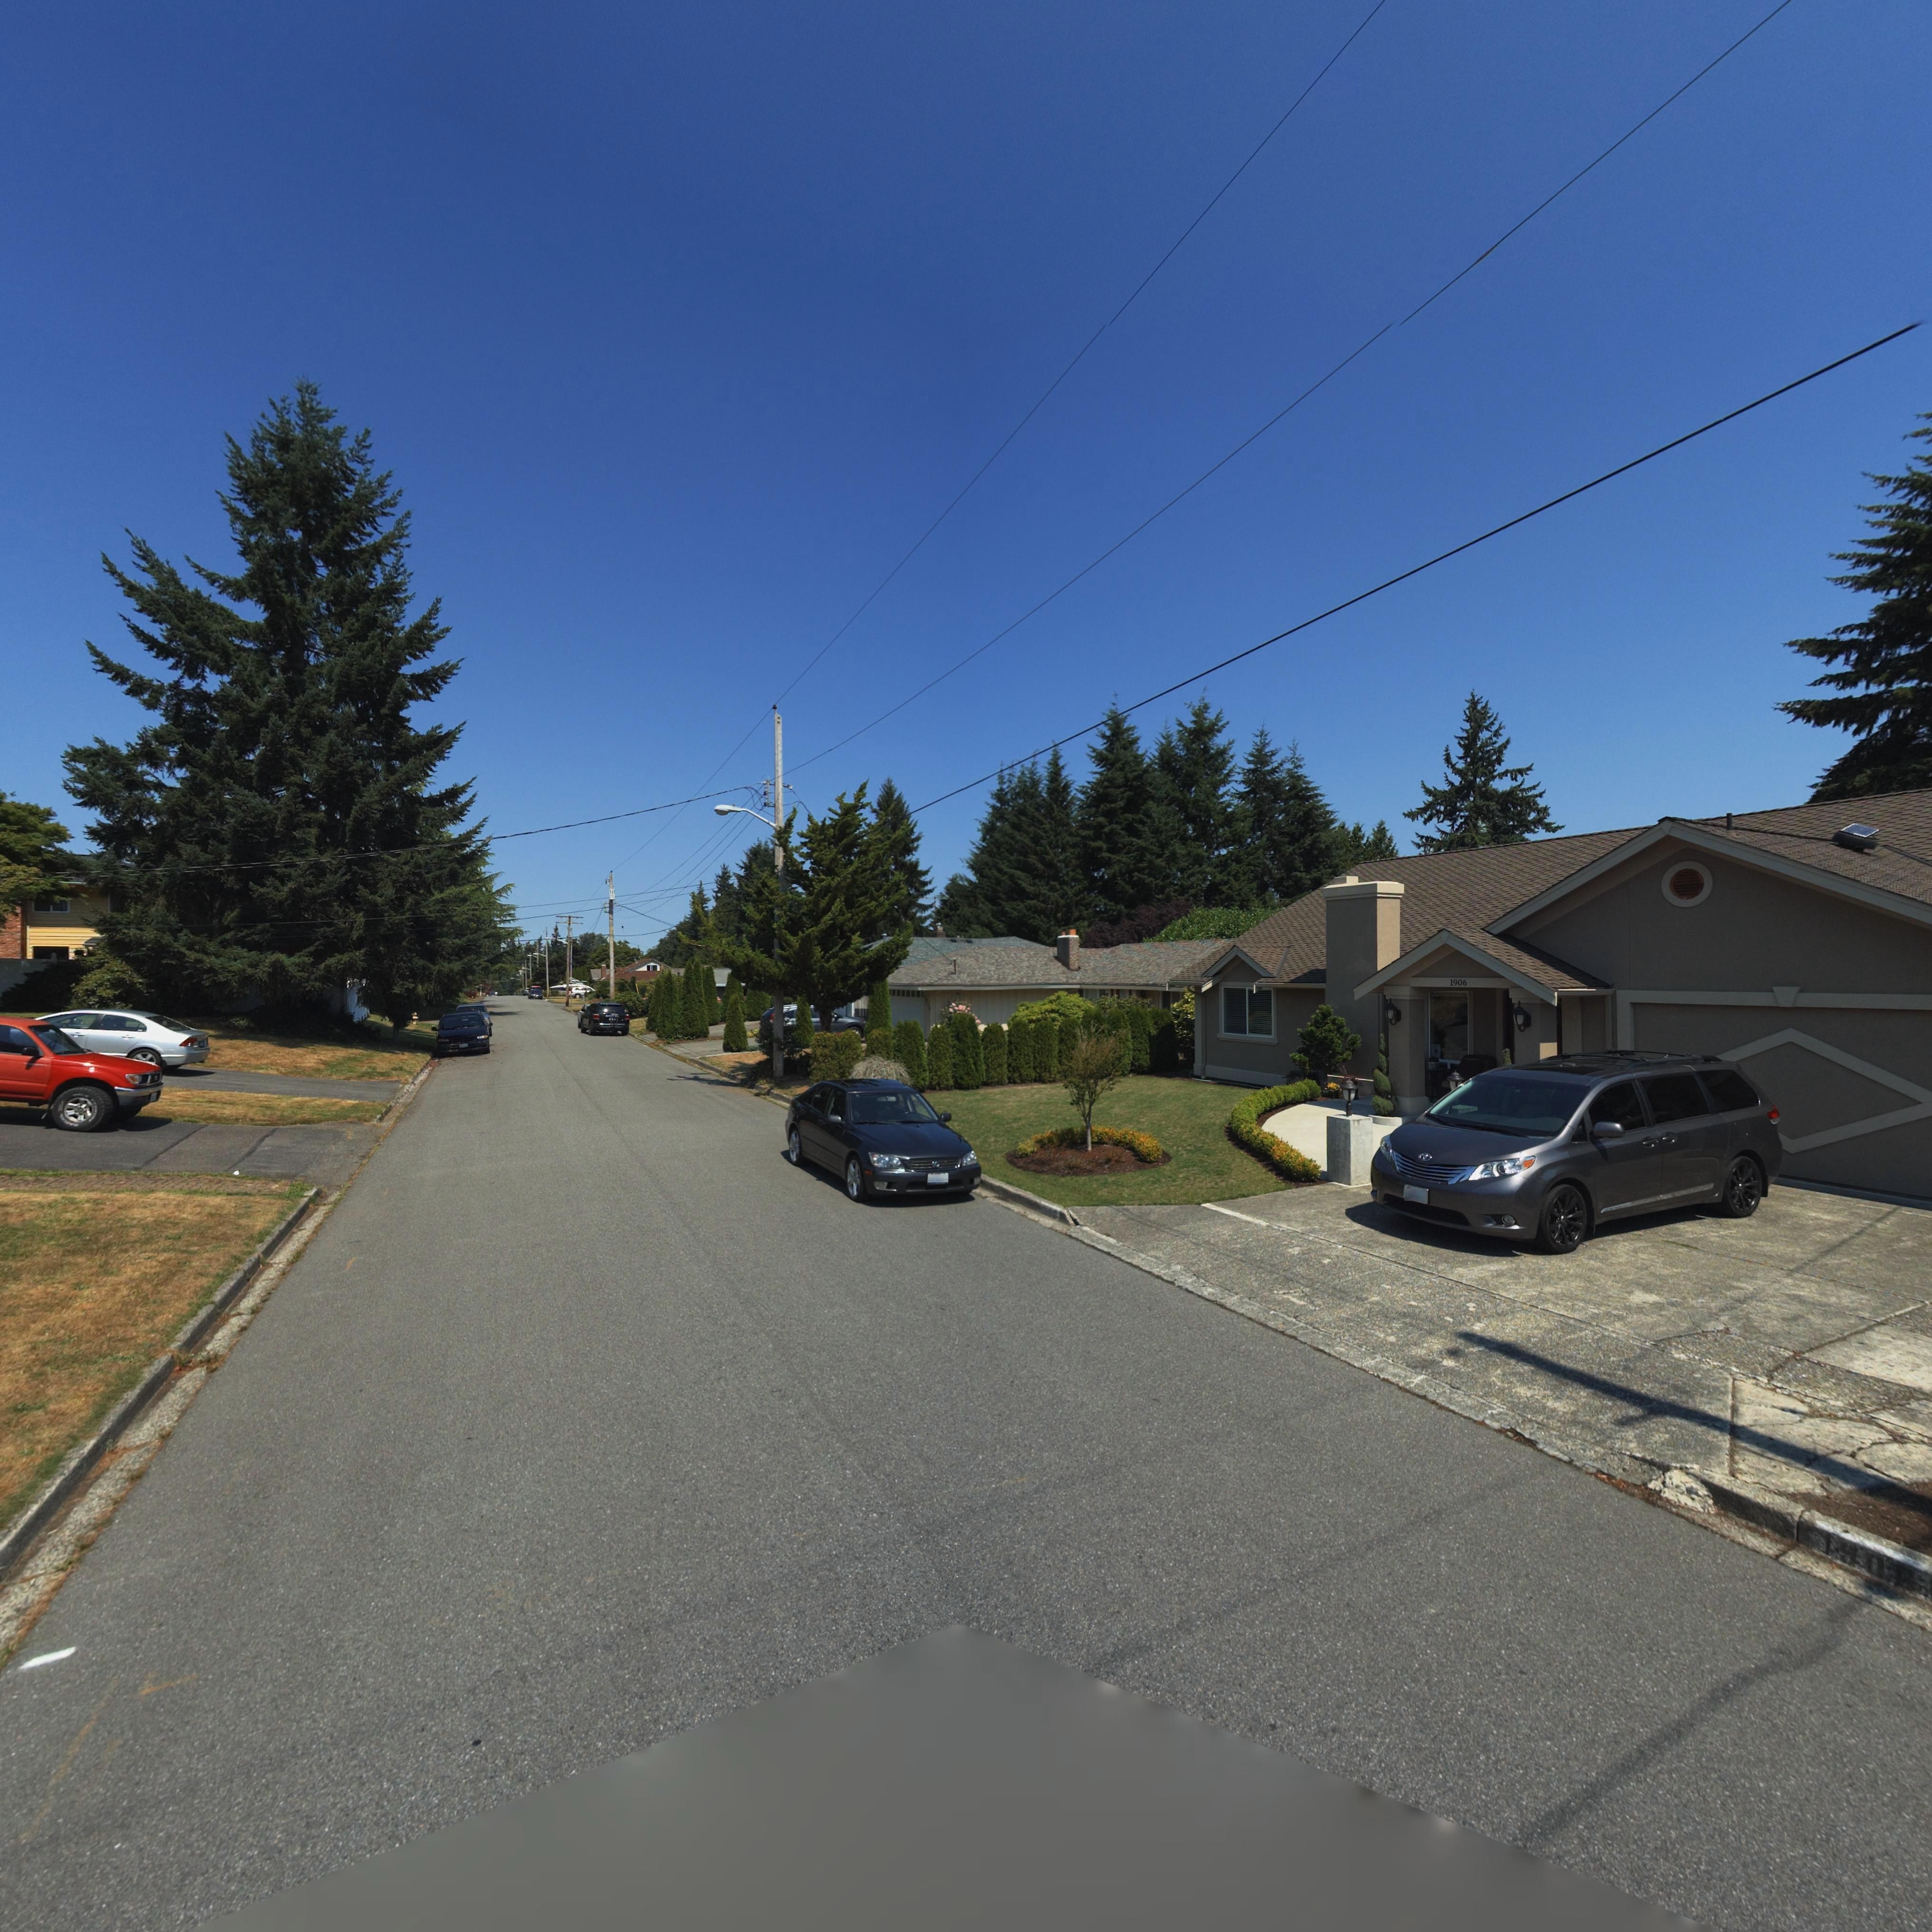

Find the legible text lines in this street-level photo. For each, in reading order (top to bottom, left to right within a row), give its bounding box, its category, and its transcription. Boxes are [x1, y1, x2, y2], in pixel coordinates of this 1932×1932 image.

[1450, 979, 1467, 986] StreetNumber: 1906